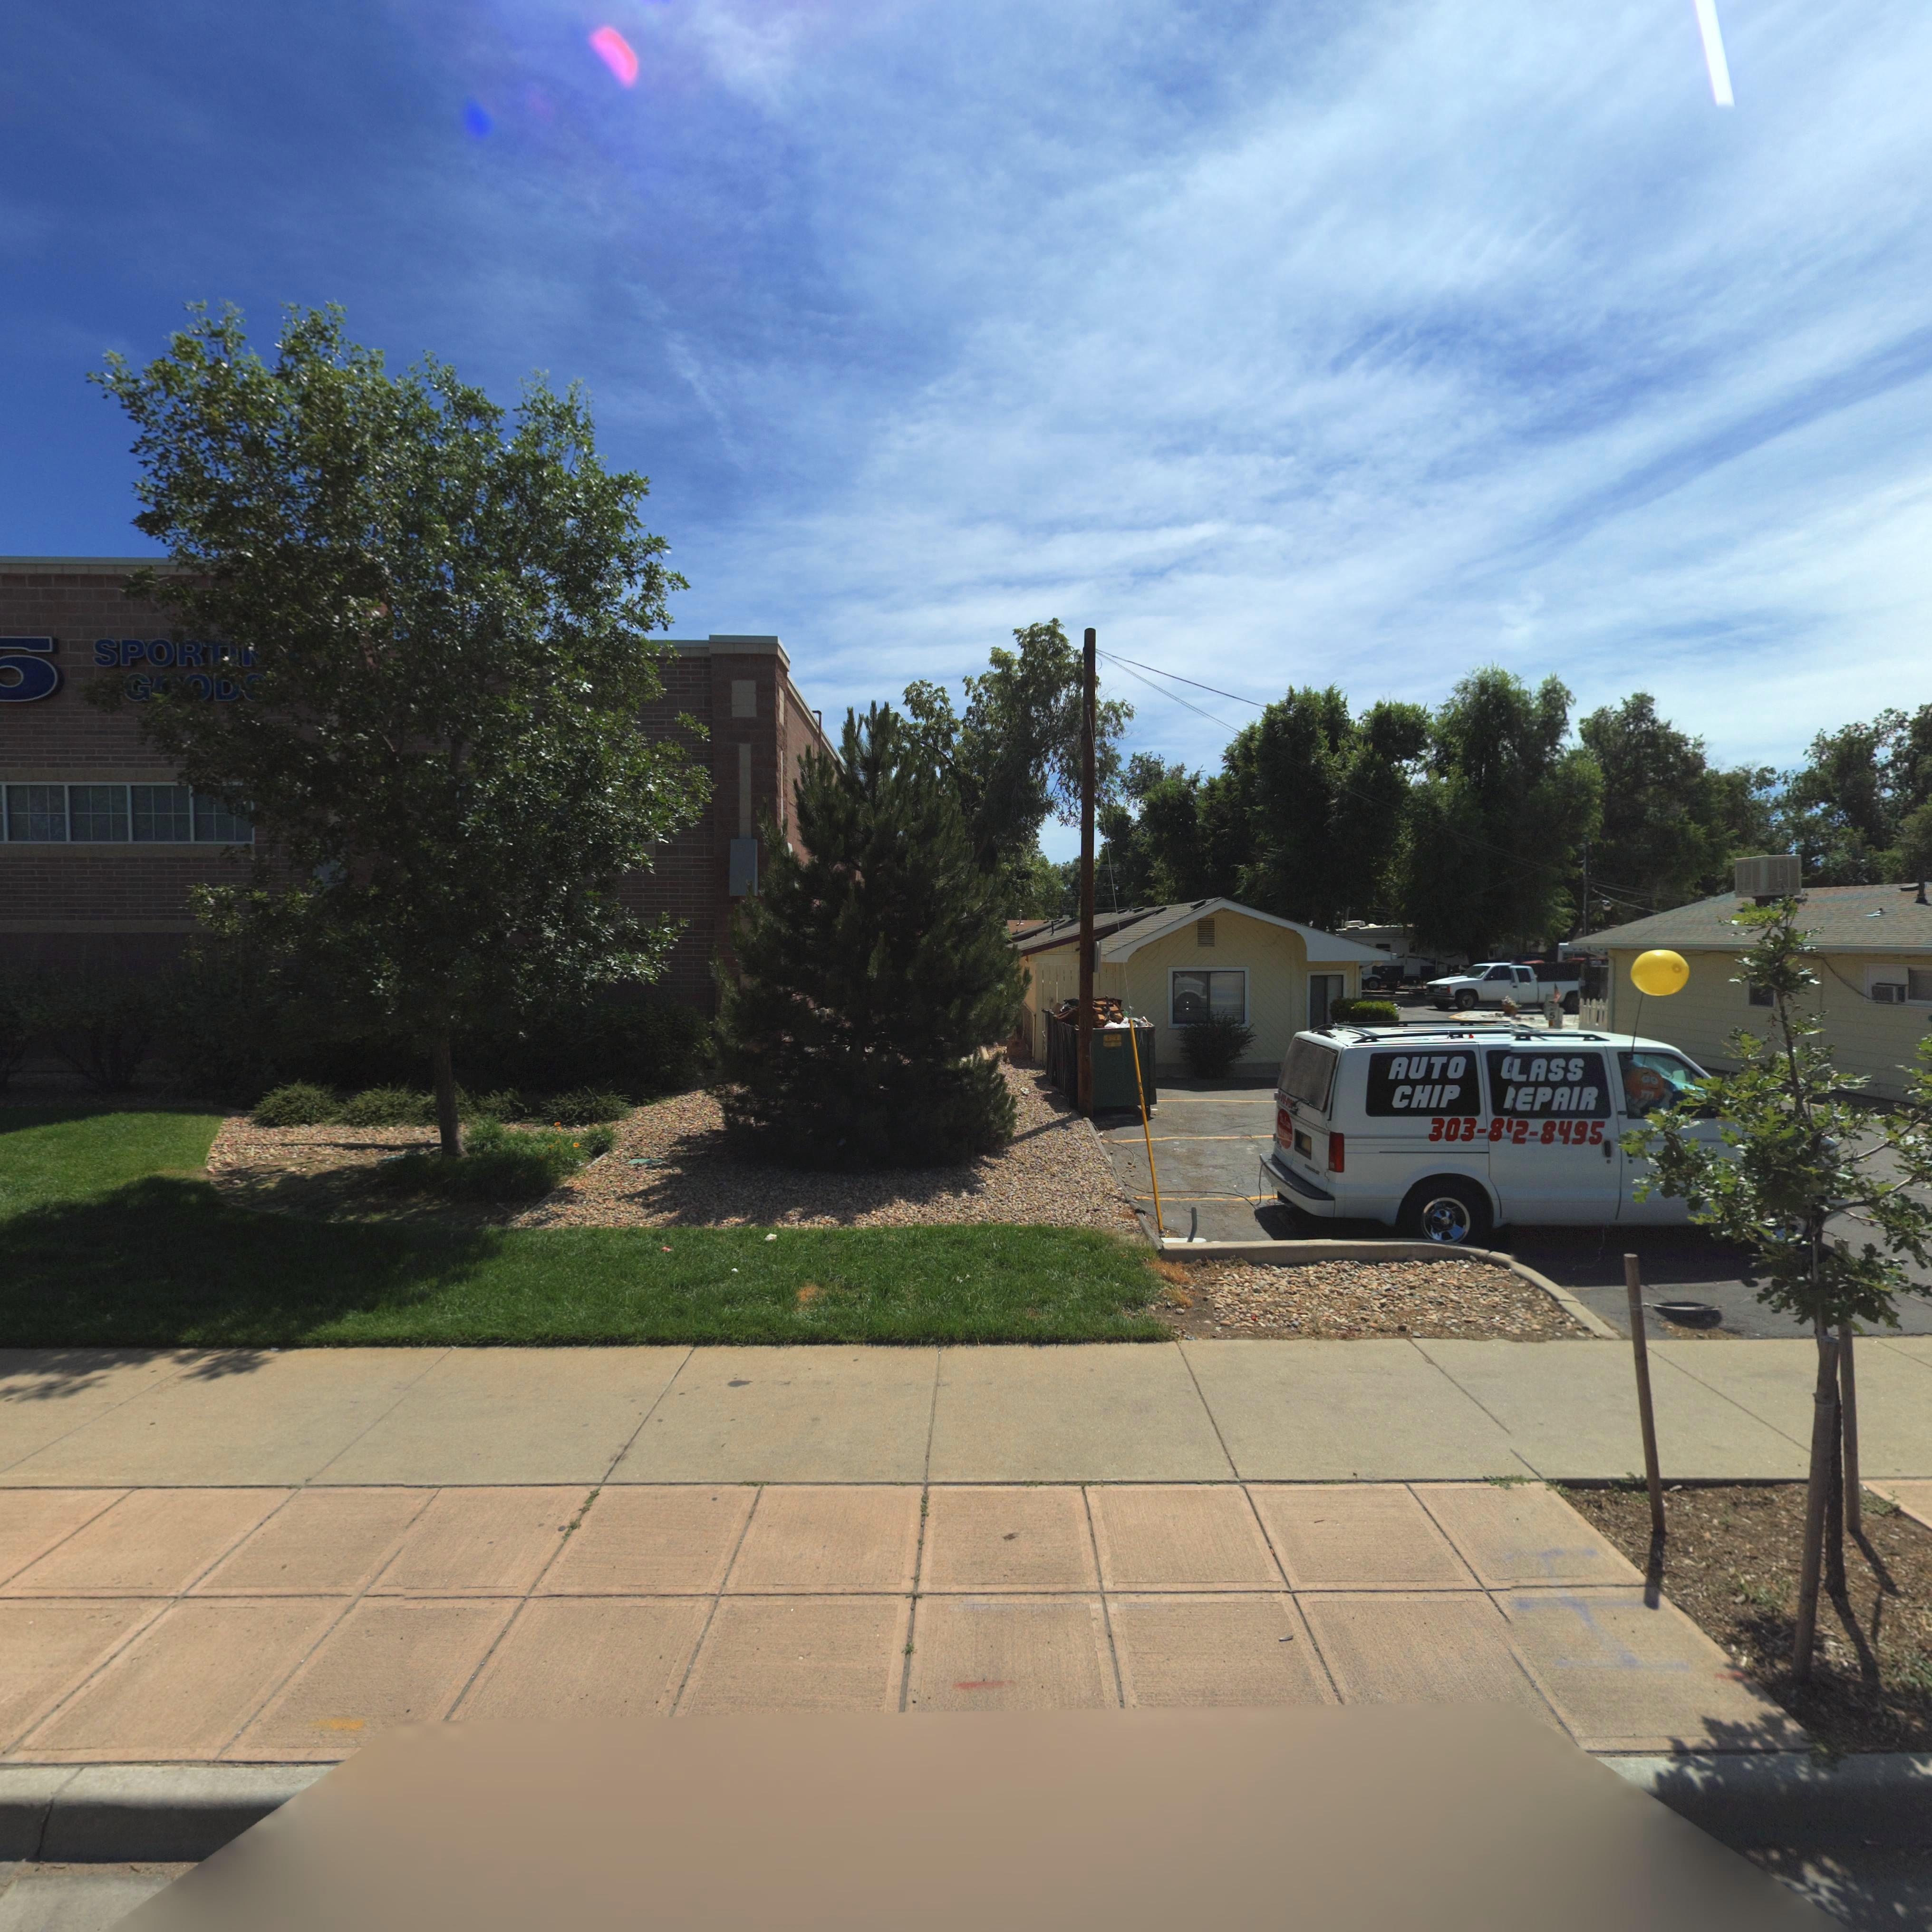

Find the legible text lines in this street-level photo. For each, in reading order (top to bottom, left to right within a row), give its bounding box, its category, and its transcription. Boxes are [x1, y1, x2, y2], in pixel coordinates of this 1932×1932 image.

[92, 638, 299, 668] BusinessName: SPOR****
[121, 671, 270, 703] BusinessName: G**D*